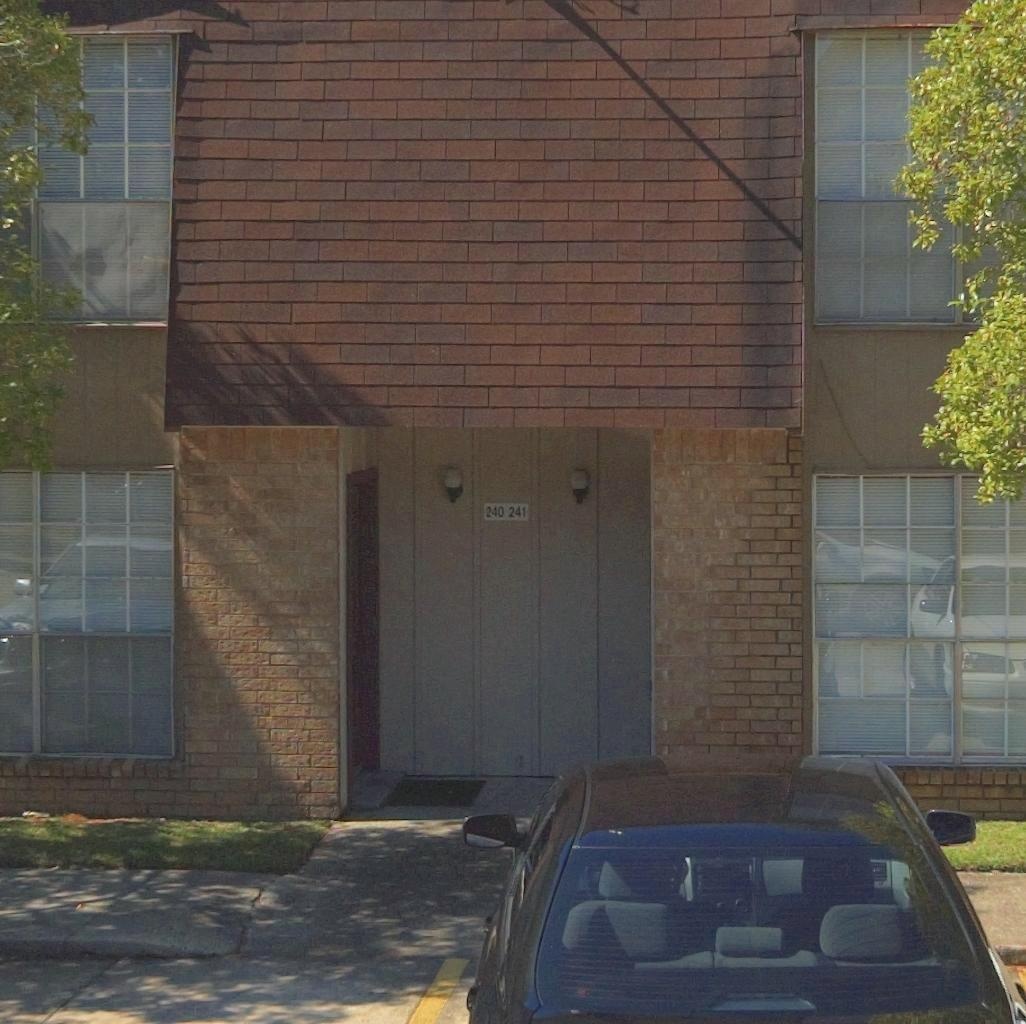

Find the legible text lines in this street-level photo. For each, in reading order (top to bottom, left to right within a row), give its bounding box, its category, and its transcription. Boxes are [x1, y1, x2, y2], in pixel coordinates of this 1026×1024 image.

[484, 504, 506, 519] StreetNumber: 240
[507, 504, 527, 519] StreetNumber: 241